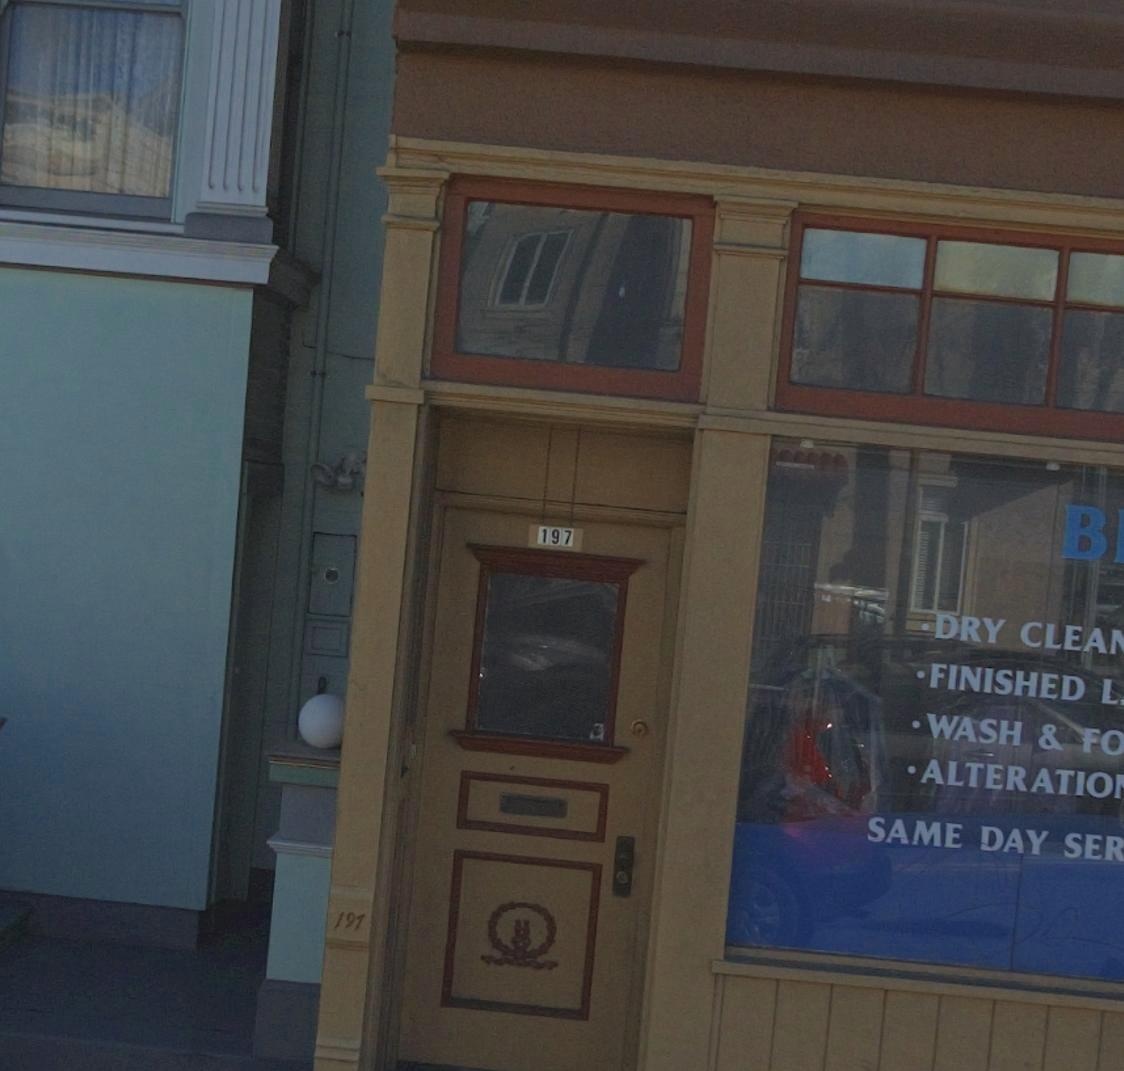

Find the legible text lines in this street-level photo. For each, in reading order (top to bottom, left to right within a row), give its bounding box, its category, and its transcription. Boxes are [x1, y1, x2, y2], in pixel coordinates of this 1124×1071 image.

[540, 527, 575, 546] StreetNumber: 197
[1057, 499, 1110, 566] None: B
[932, 610, 1111, 656] None: DRY CLEA
[927, 660, 1121, 706] None: FINISHED L
[923, 711, 1102, 755] None: WASH & F
[916, 757, 1117, 799] None: ALTERATIO
[865, 814, 1105, 861] None: SAME DAY SE
[330, 909, 370, 934] StreetNumber: 197